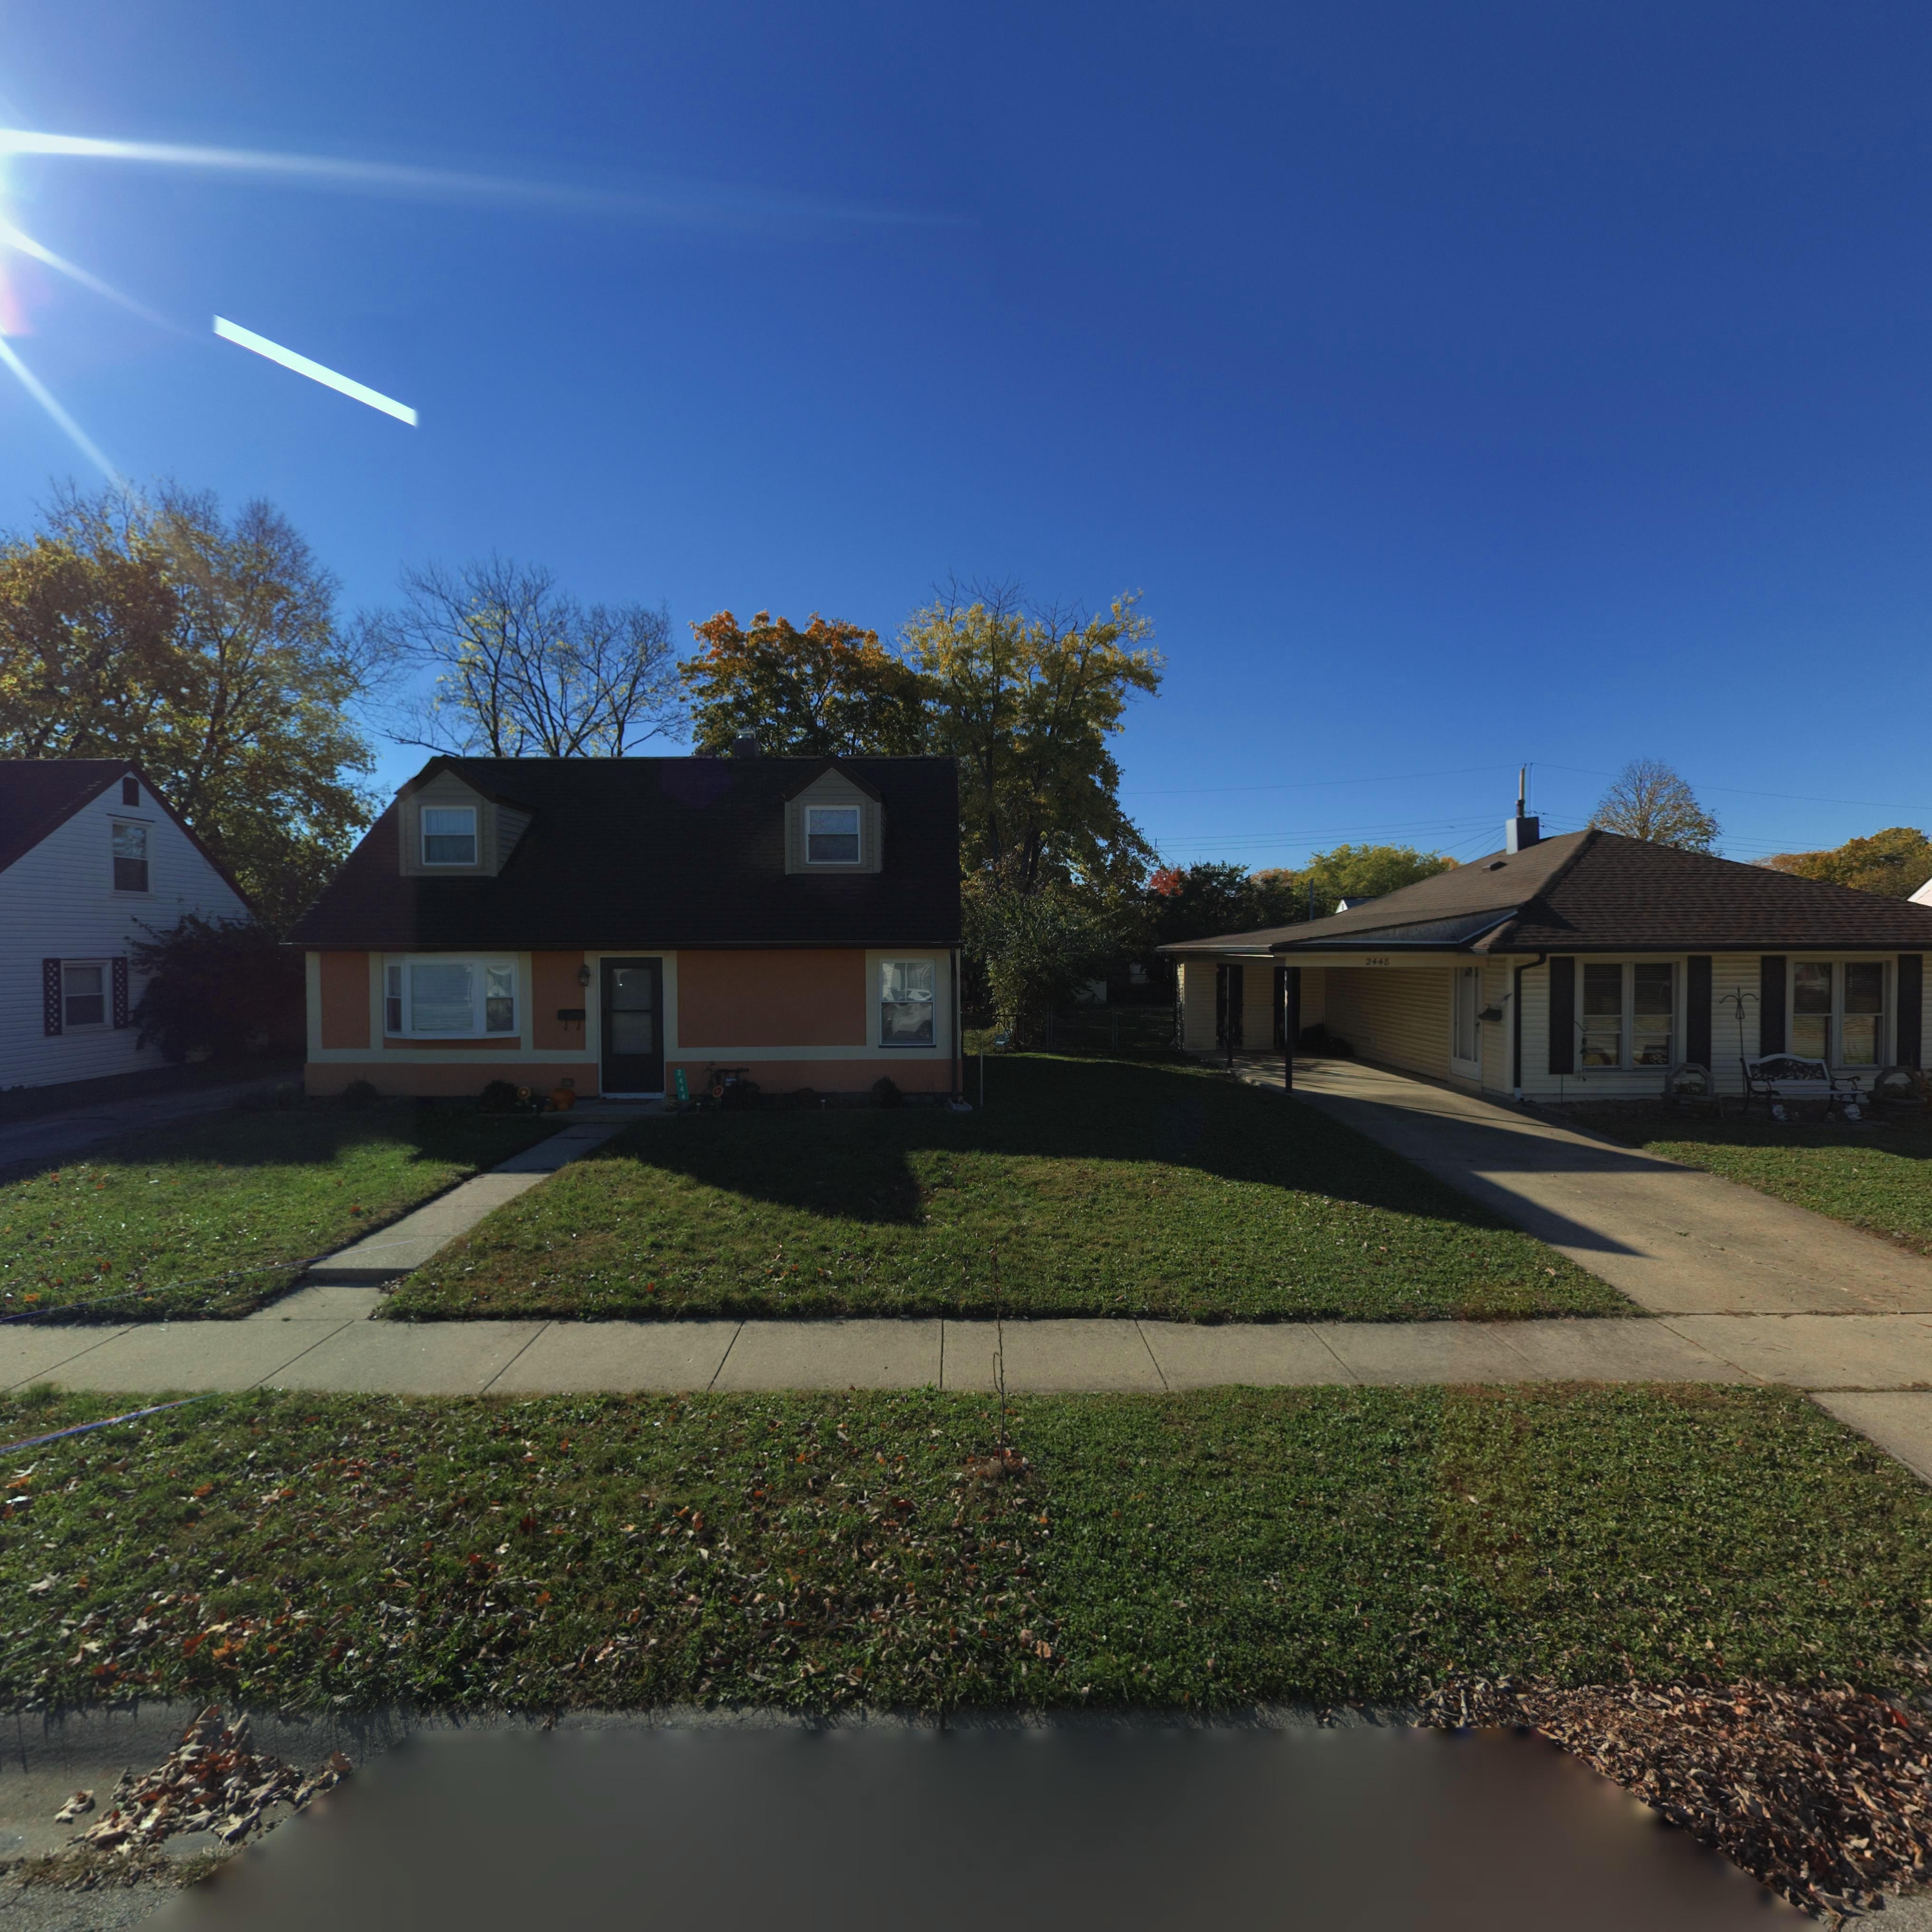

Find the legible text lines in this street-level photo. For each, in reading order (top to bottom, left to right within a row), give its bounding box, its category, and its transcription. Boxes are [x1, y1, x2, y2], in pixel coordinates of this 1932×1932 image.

[1365, 957, 1391, 966] StreetNumber: 2448
[676, 1068, 687, 1101] StreetNumber: 2444